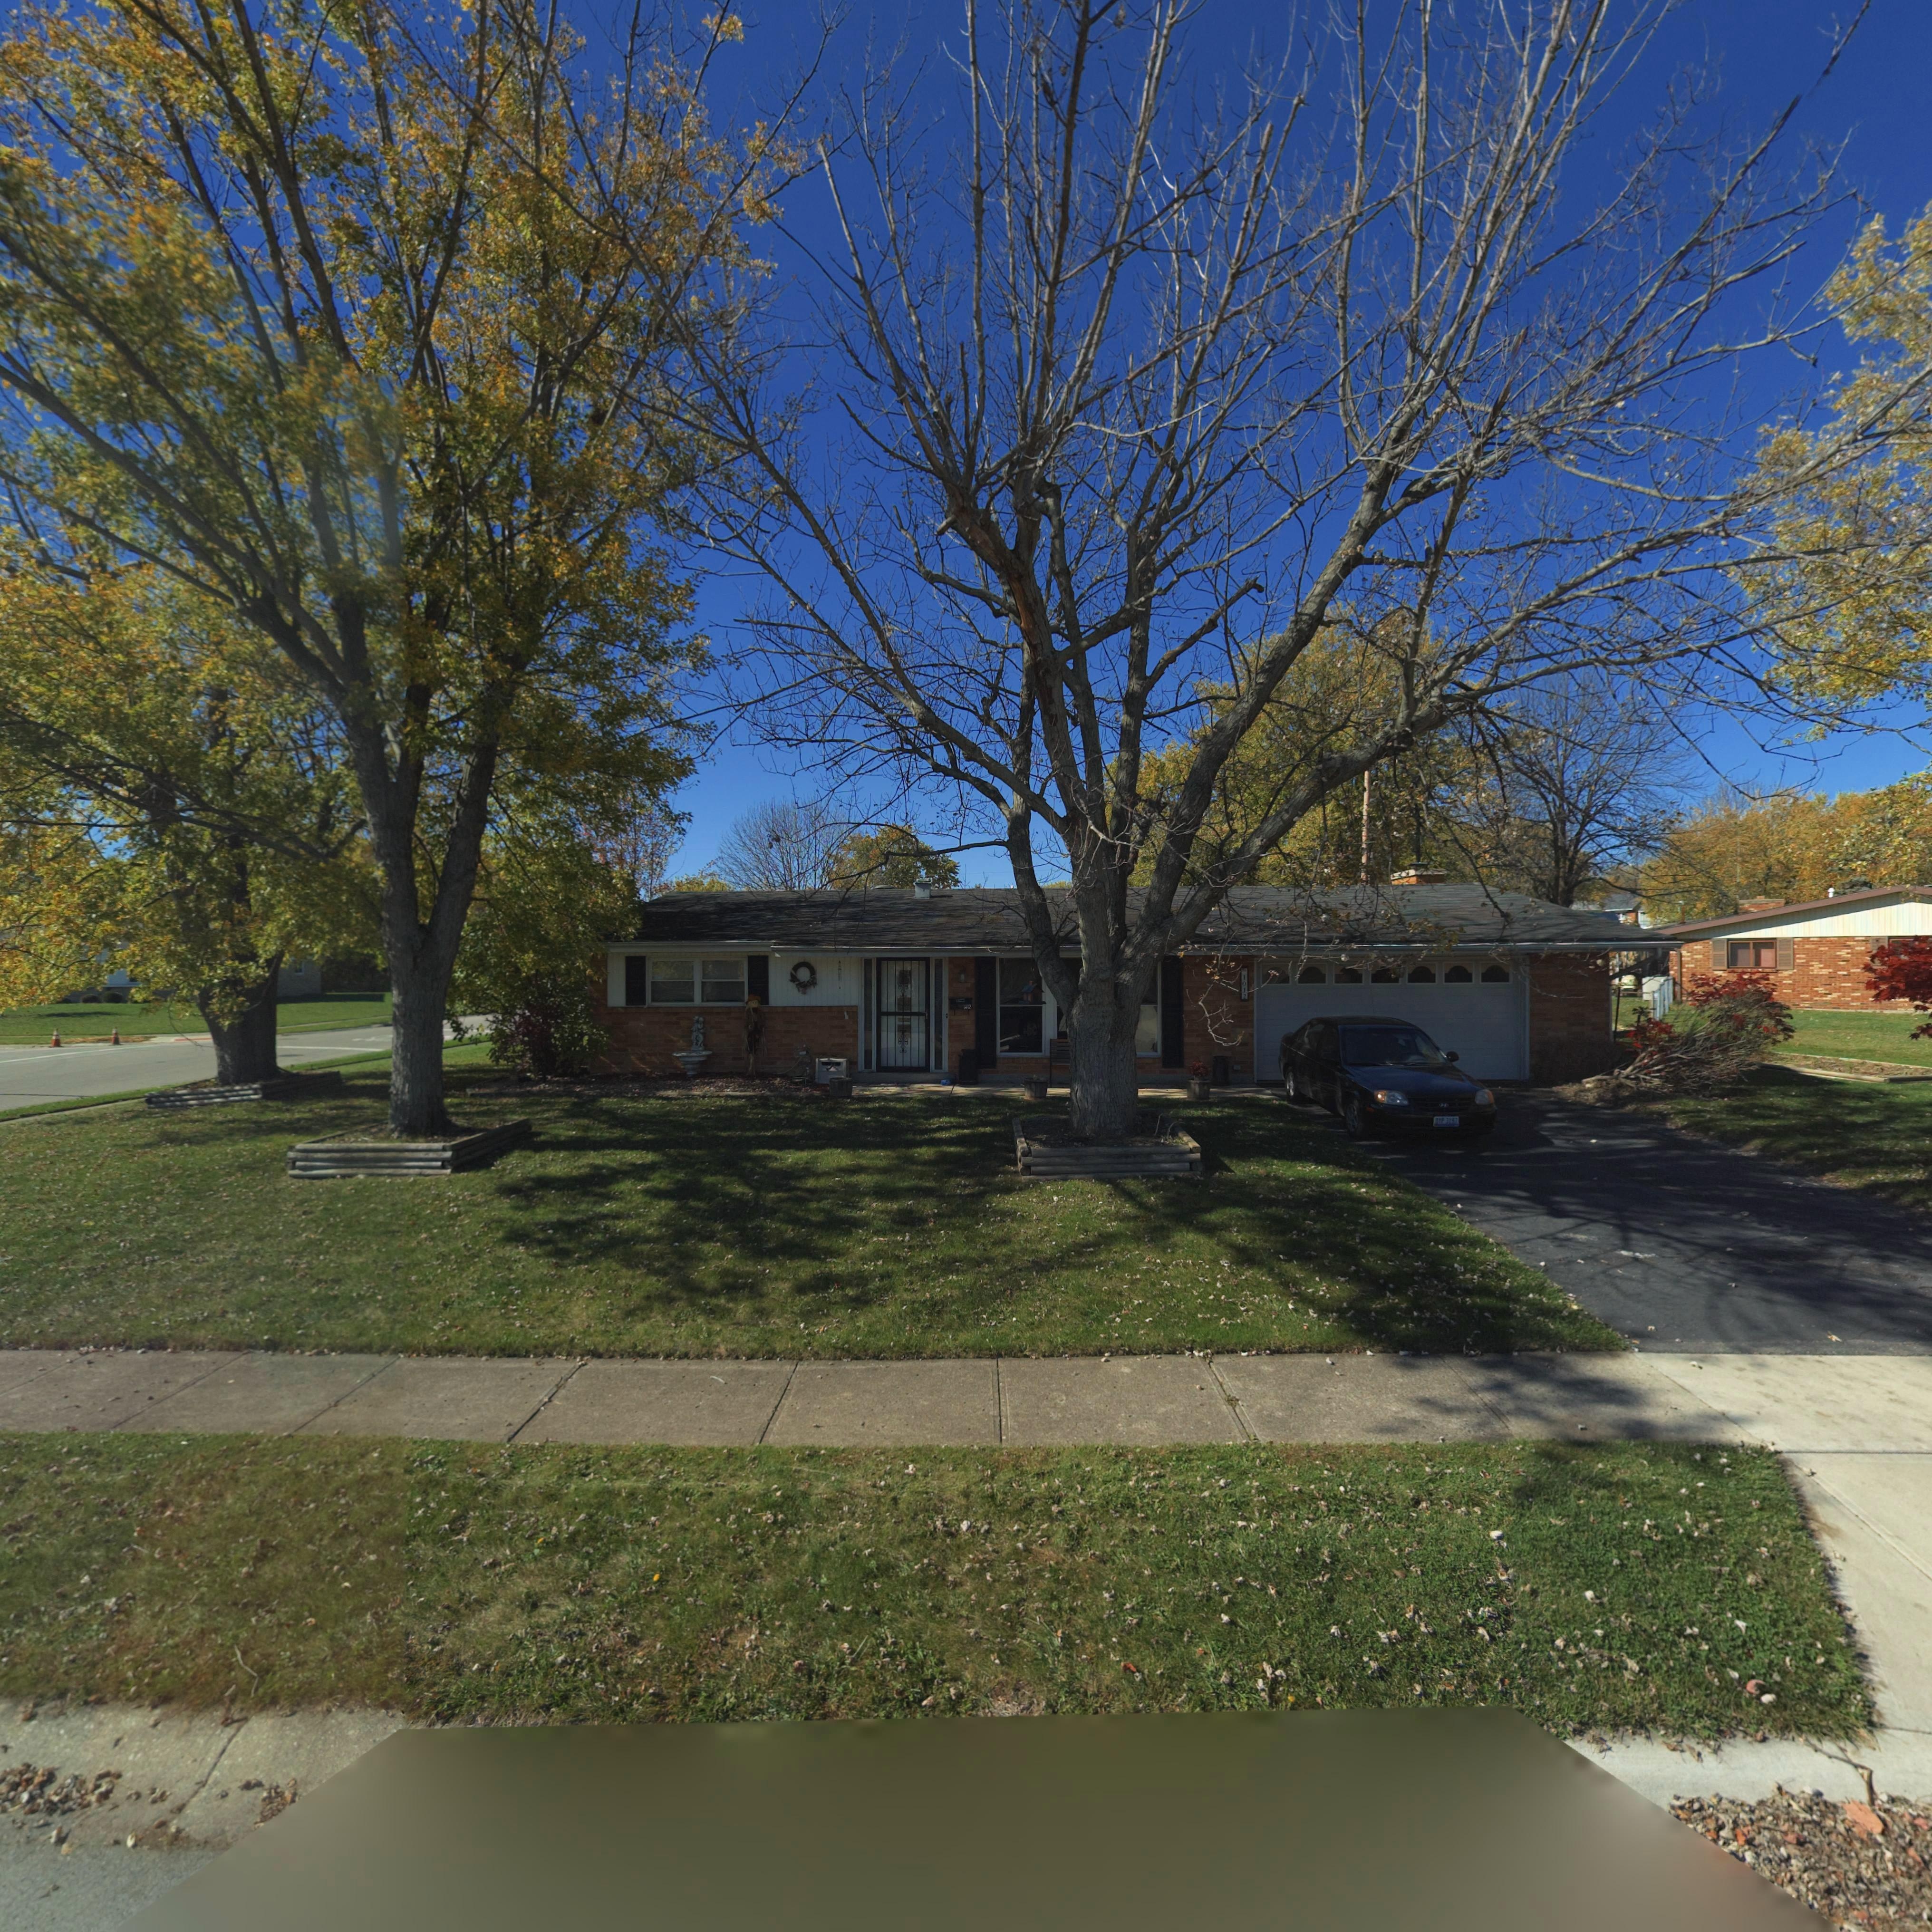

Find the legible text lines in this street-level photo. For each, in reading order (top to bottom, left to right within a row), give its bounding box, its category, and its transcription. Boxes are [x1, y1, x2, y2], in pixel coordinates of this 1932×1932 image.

[1242, 974, 1246, 999] StreetNumber: 1012